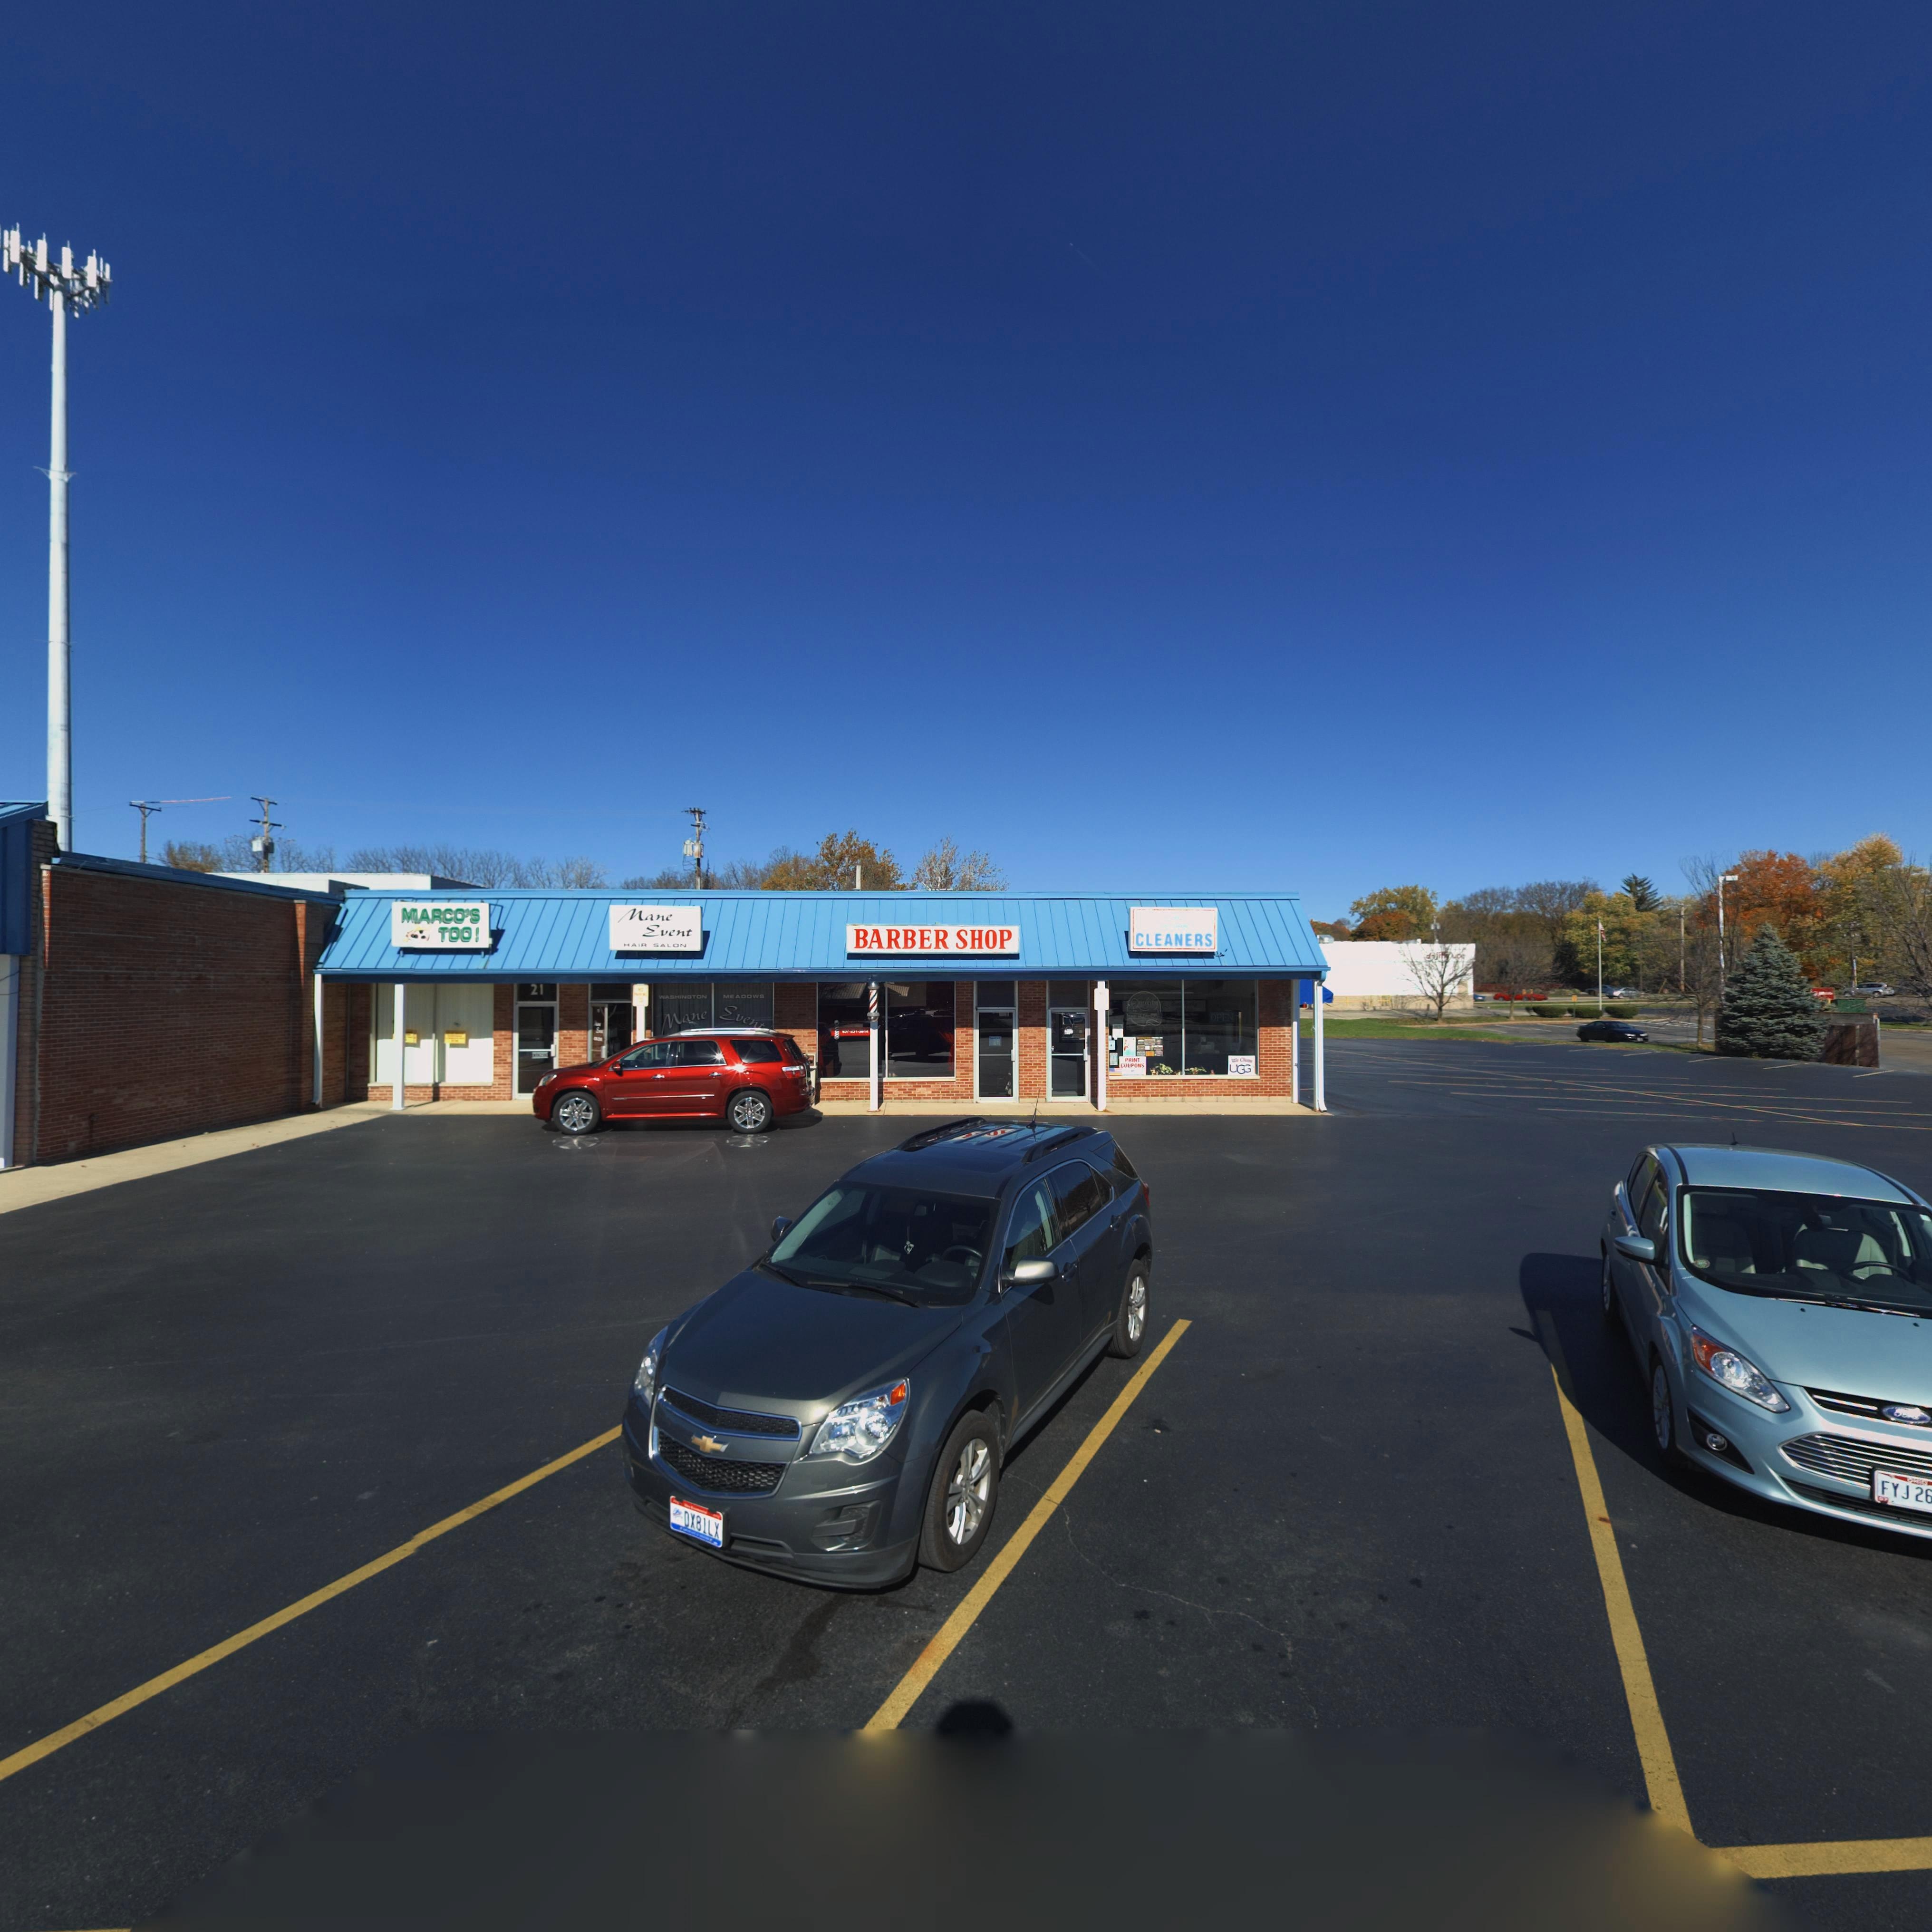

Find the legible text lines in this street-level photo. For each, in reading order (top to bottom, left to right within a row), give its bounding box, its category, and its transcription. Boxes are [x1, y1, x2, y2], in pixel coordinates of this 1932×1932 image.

[400, 907, 481, 924] BusinessName: M*ARCO'S
[617, 907, 674, 923] BusinessName: Mane
[437, 926, 480, 943] BusinessName: TOO!
[622, 942, 687, 948] None: HAIR SALON
[640, 924, 693, 937] BusinessName: Event
[852, 928, 1013, 950] BusinessName: BARBER SHOP
[1134, 932, 1213, 948] BusinessName: CLEANERS
[530, 983, 544, 995] StreetNumber: 21
[658, 994, 765, 1000] None: WASHINGTON MEADOWS
[1129, 996, 1159, 1013] None: Quality
[659, 1005, 765, 1036] BusinessName: Mane Event
[1209, 1013, 1235, 1022] None: OPEN
[1120, 1063, 1145, 1068] None: COUPONS
[1124, 1057, 1141, 1063] None: PRINT
[1229, 1063, 1252, 1075] None: UGG
[1906, 1477, 1929, 1487] None: OHIO
[1881, 1479, 1932, 1506] None: FYJ*26
[684, 1510, 721, 1541] None: DX81LX